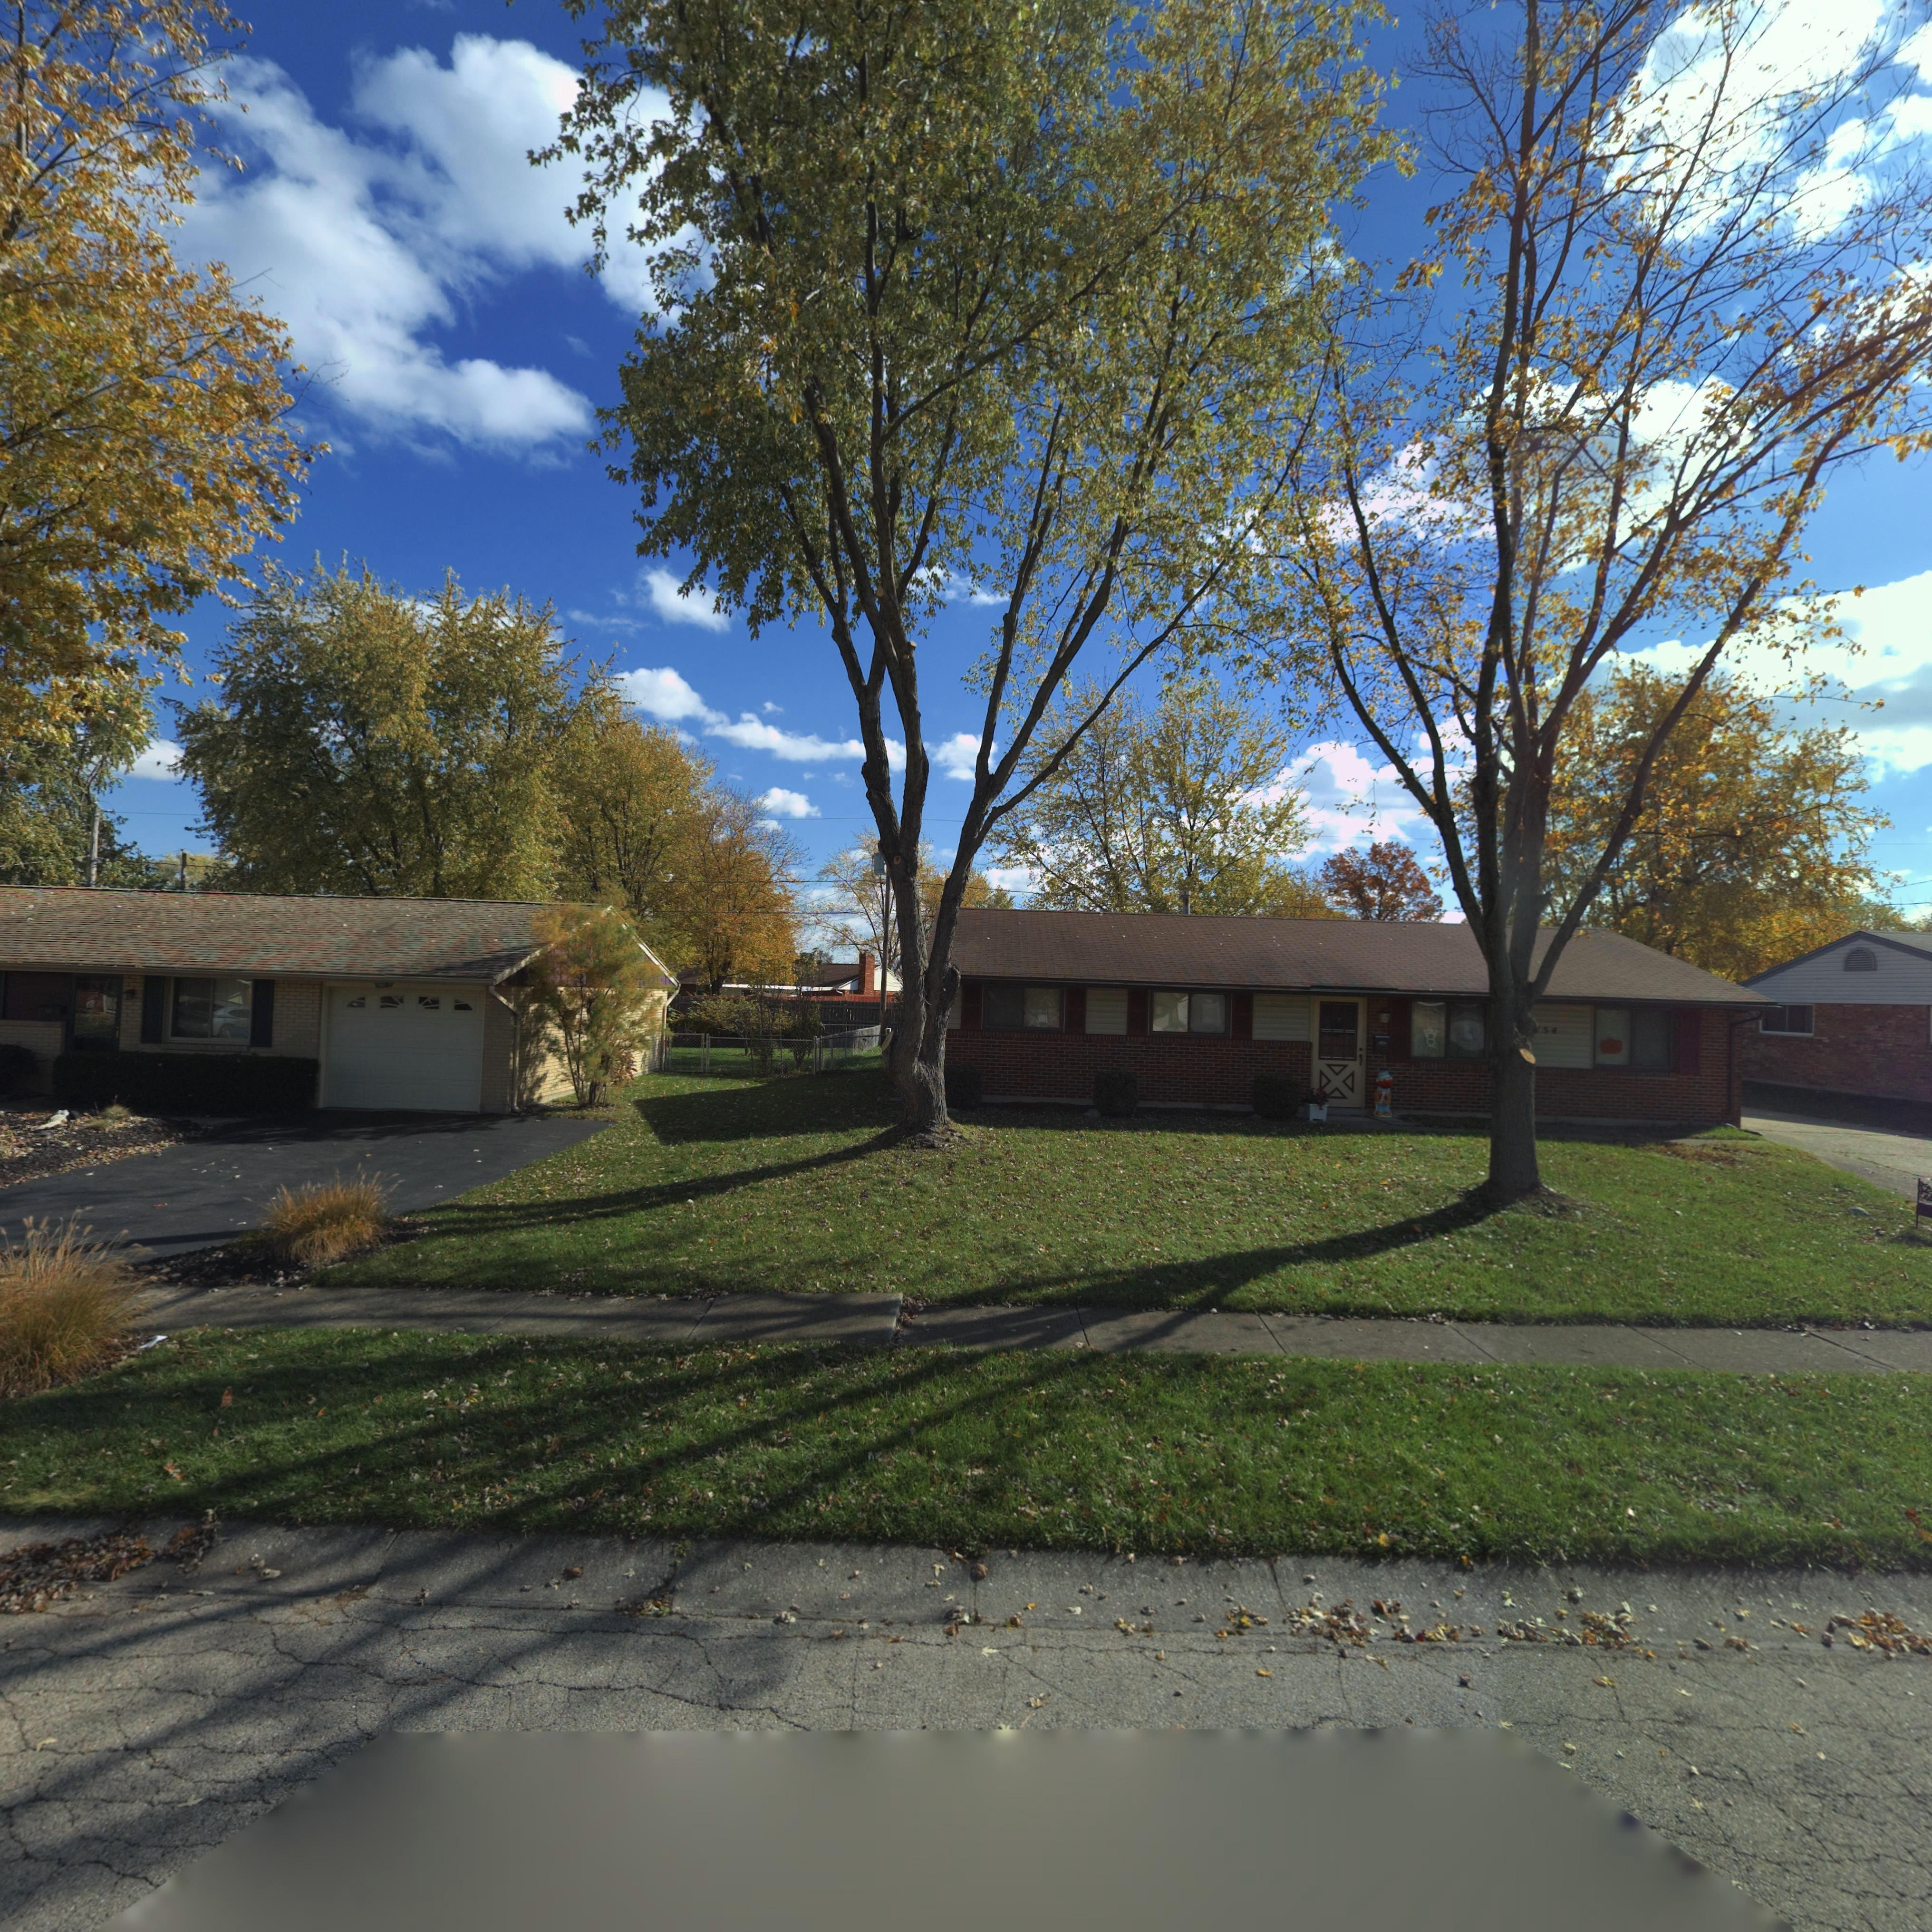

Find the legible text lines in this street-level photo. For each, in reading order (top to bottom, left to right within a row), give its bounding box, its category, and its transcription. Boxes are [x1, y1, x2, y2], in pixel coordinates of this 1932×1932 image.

[1542, 1025, 1558, 1036] StreetNumber: 54